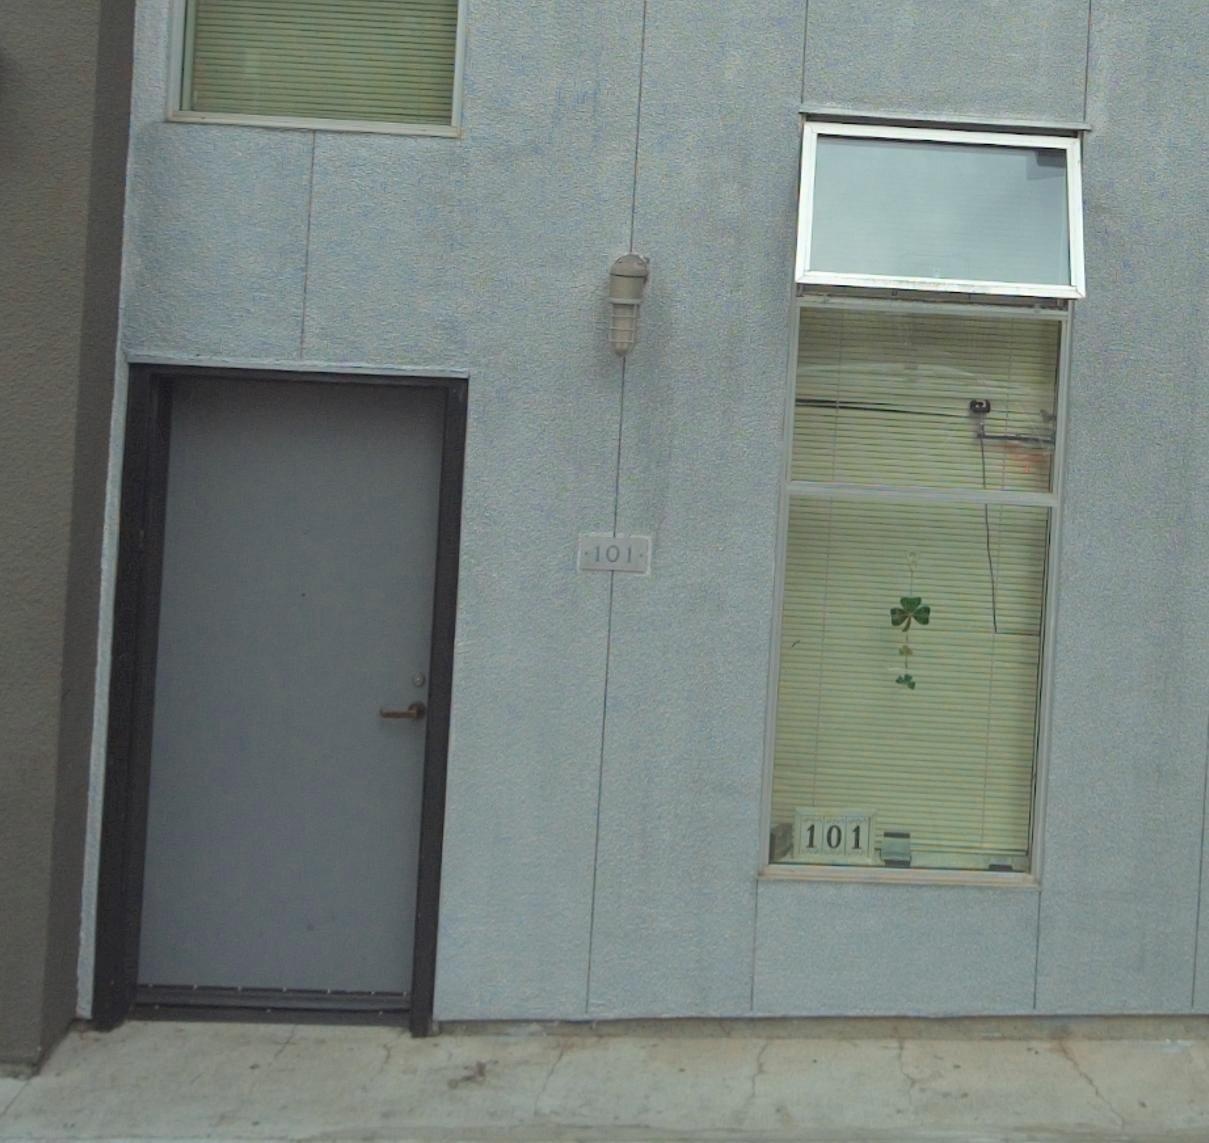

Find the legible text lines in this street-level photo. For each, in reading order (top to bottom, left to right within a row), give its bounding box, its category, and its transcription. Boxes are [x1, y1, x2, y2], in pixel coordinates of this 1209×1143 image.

[591, 542, 635, 567] StreetNumber: 101
[804, 820, 866, 852] None: 101